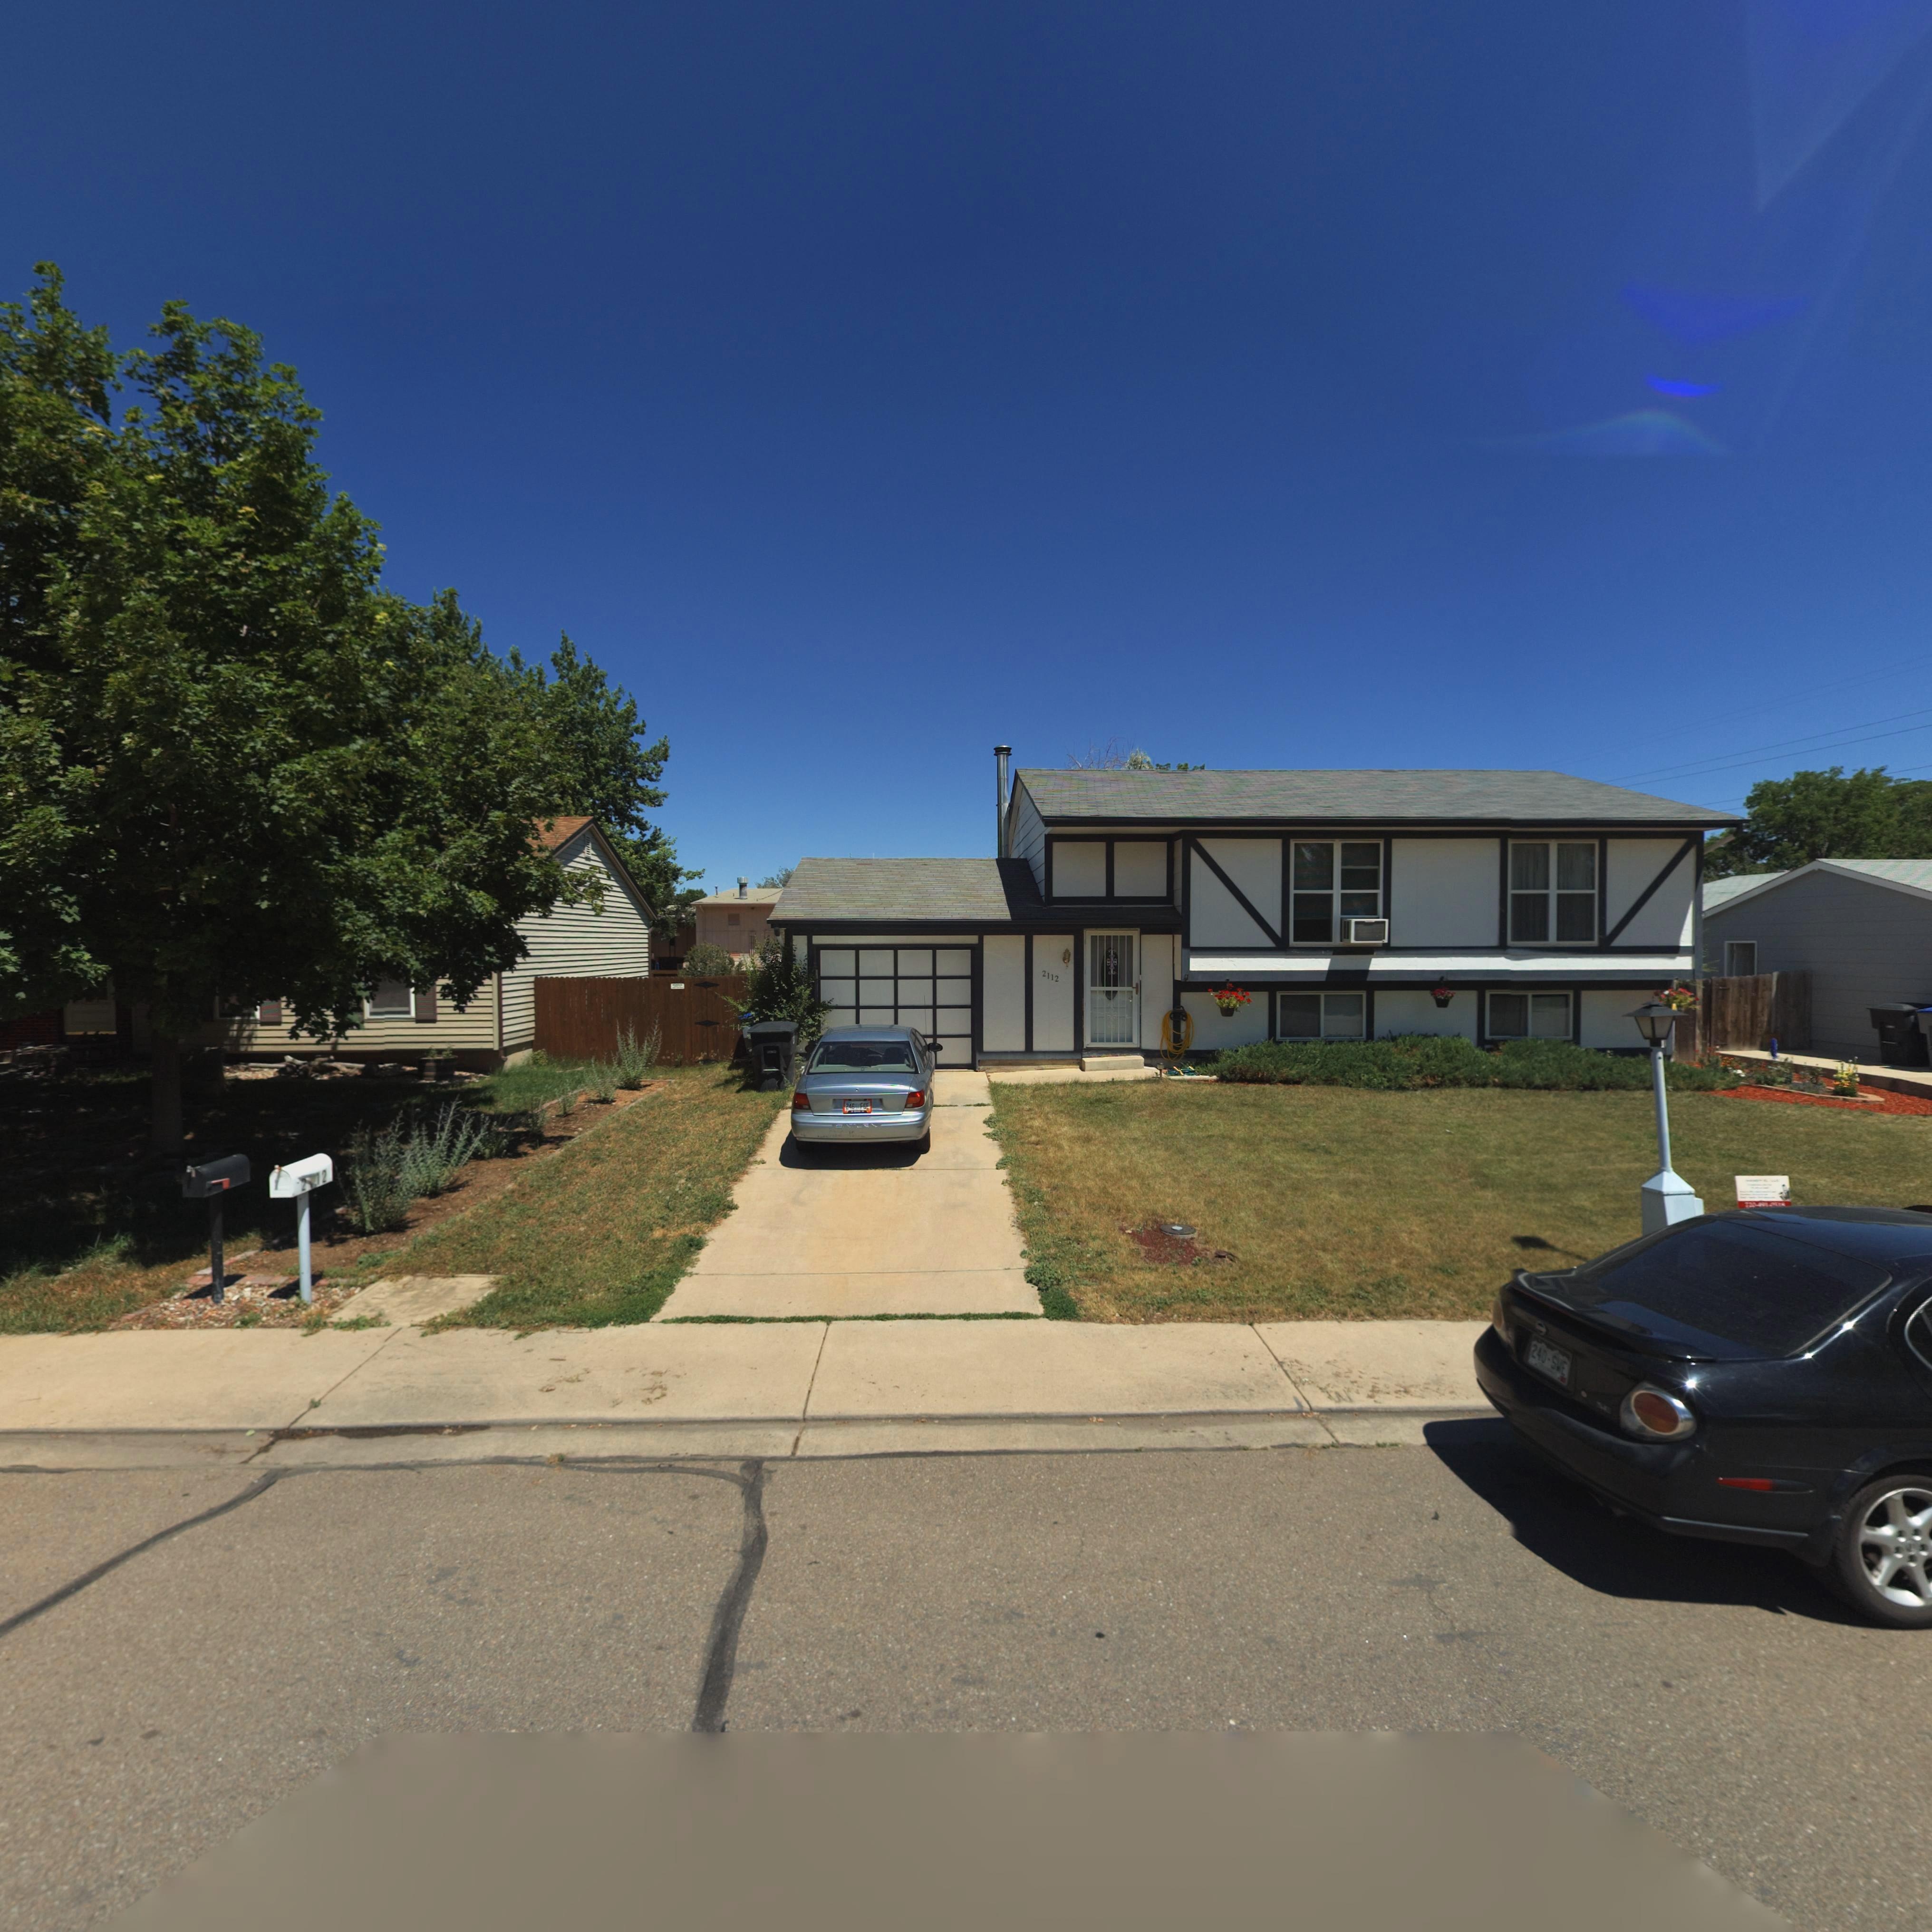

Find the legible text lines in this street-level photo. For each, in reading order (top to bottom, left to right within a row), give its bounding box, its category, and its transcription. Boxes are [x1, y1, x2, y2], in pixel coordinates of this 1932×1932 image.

[1041, 970, 1059, 982] StreetNumber: 2112
[299, 1169, 328, 1192] StreetNumber: 2112